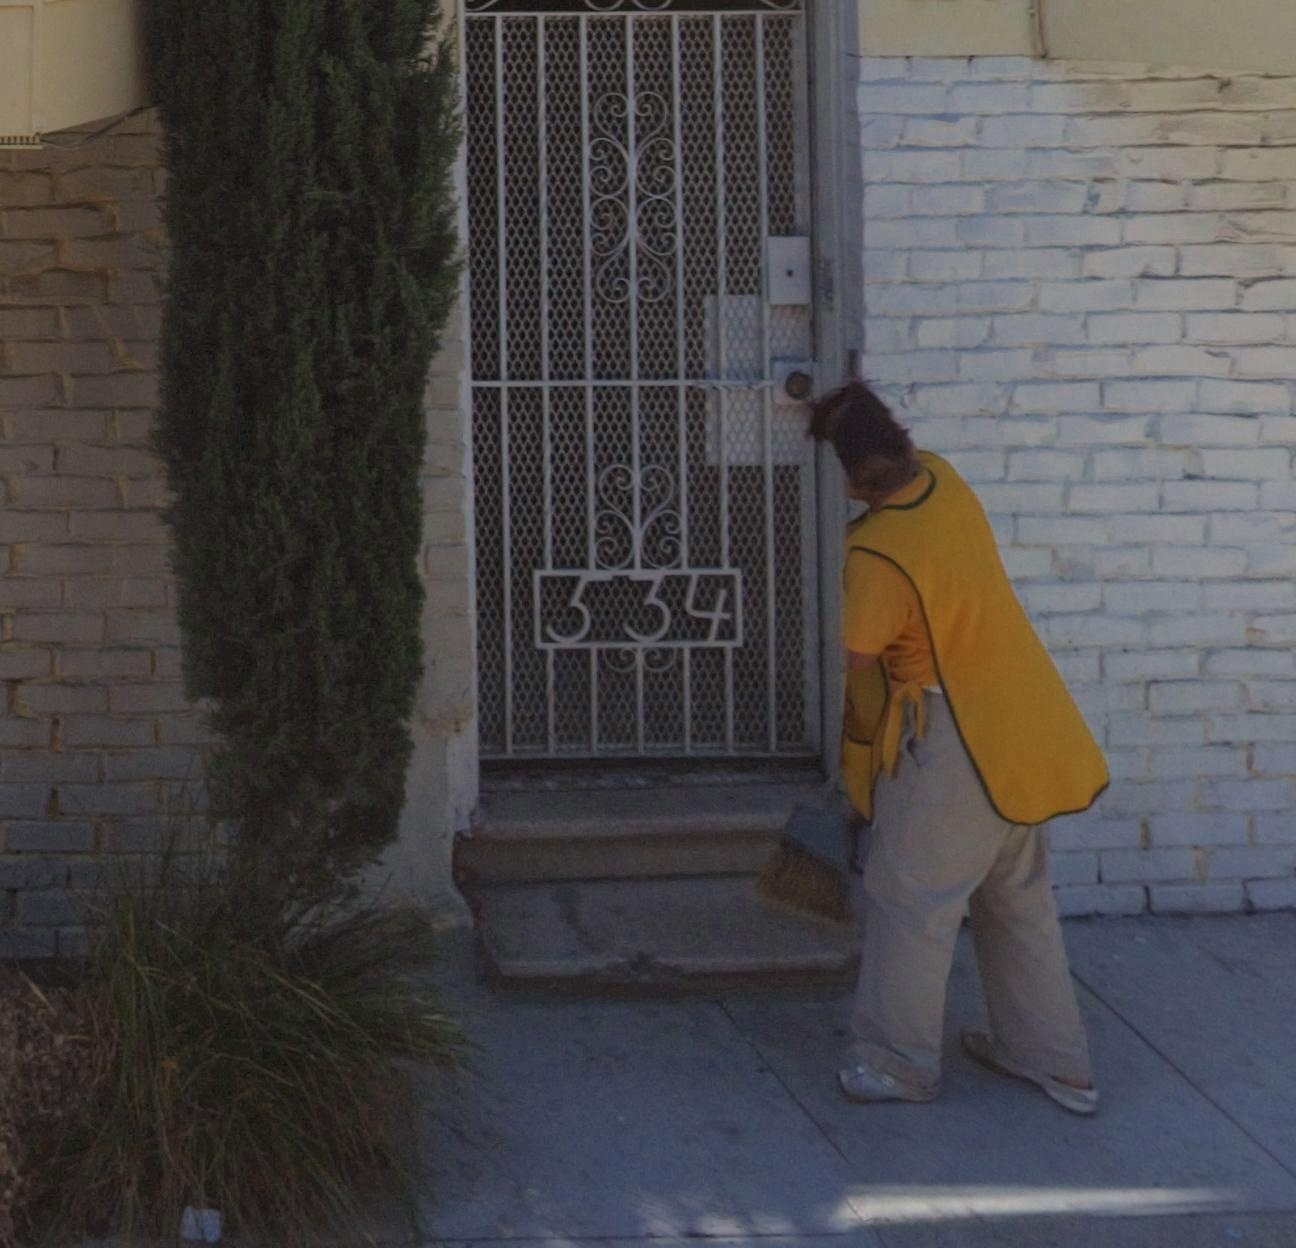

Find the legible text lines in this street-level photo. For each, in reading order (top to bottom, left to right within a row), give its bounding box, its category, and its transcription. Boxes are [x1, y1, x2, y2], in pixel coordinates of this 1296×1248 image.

[539, 574, 734, 645] StreetNumber: 534